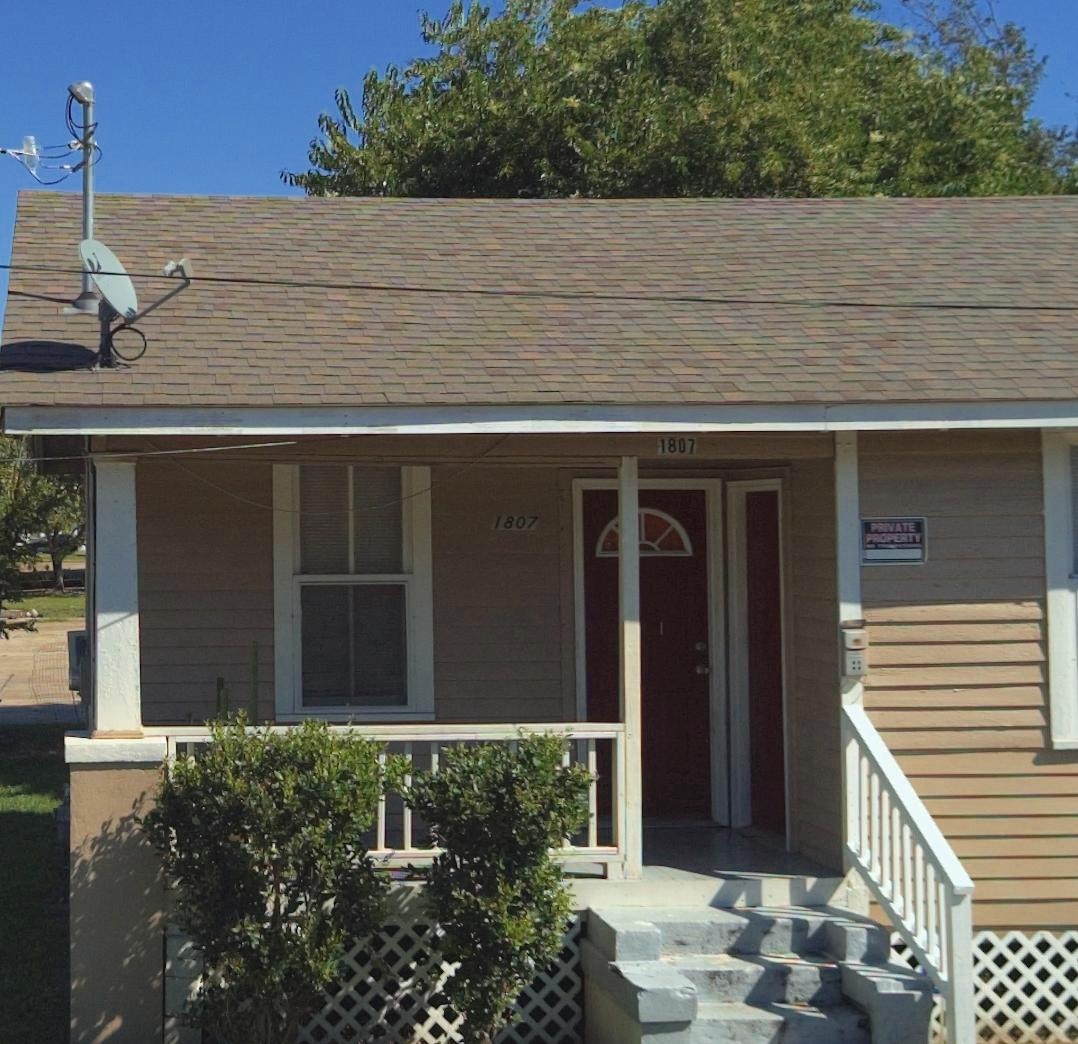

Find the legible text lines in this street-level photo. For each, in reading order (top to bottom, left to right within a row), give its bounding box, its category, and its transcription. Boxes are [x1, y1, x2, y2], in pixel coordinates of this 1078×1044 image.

[658, 436, 698, 456] StreetNumber: 1807
[491, 513, 540, 532] StreetNumber: 1807
[868, 520, 918, 534] None: PRIVATE
[864, 532, 924, 544] None: PROPERTY